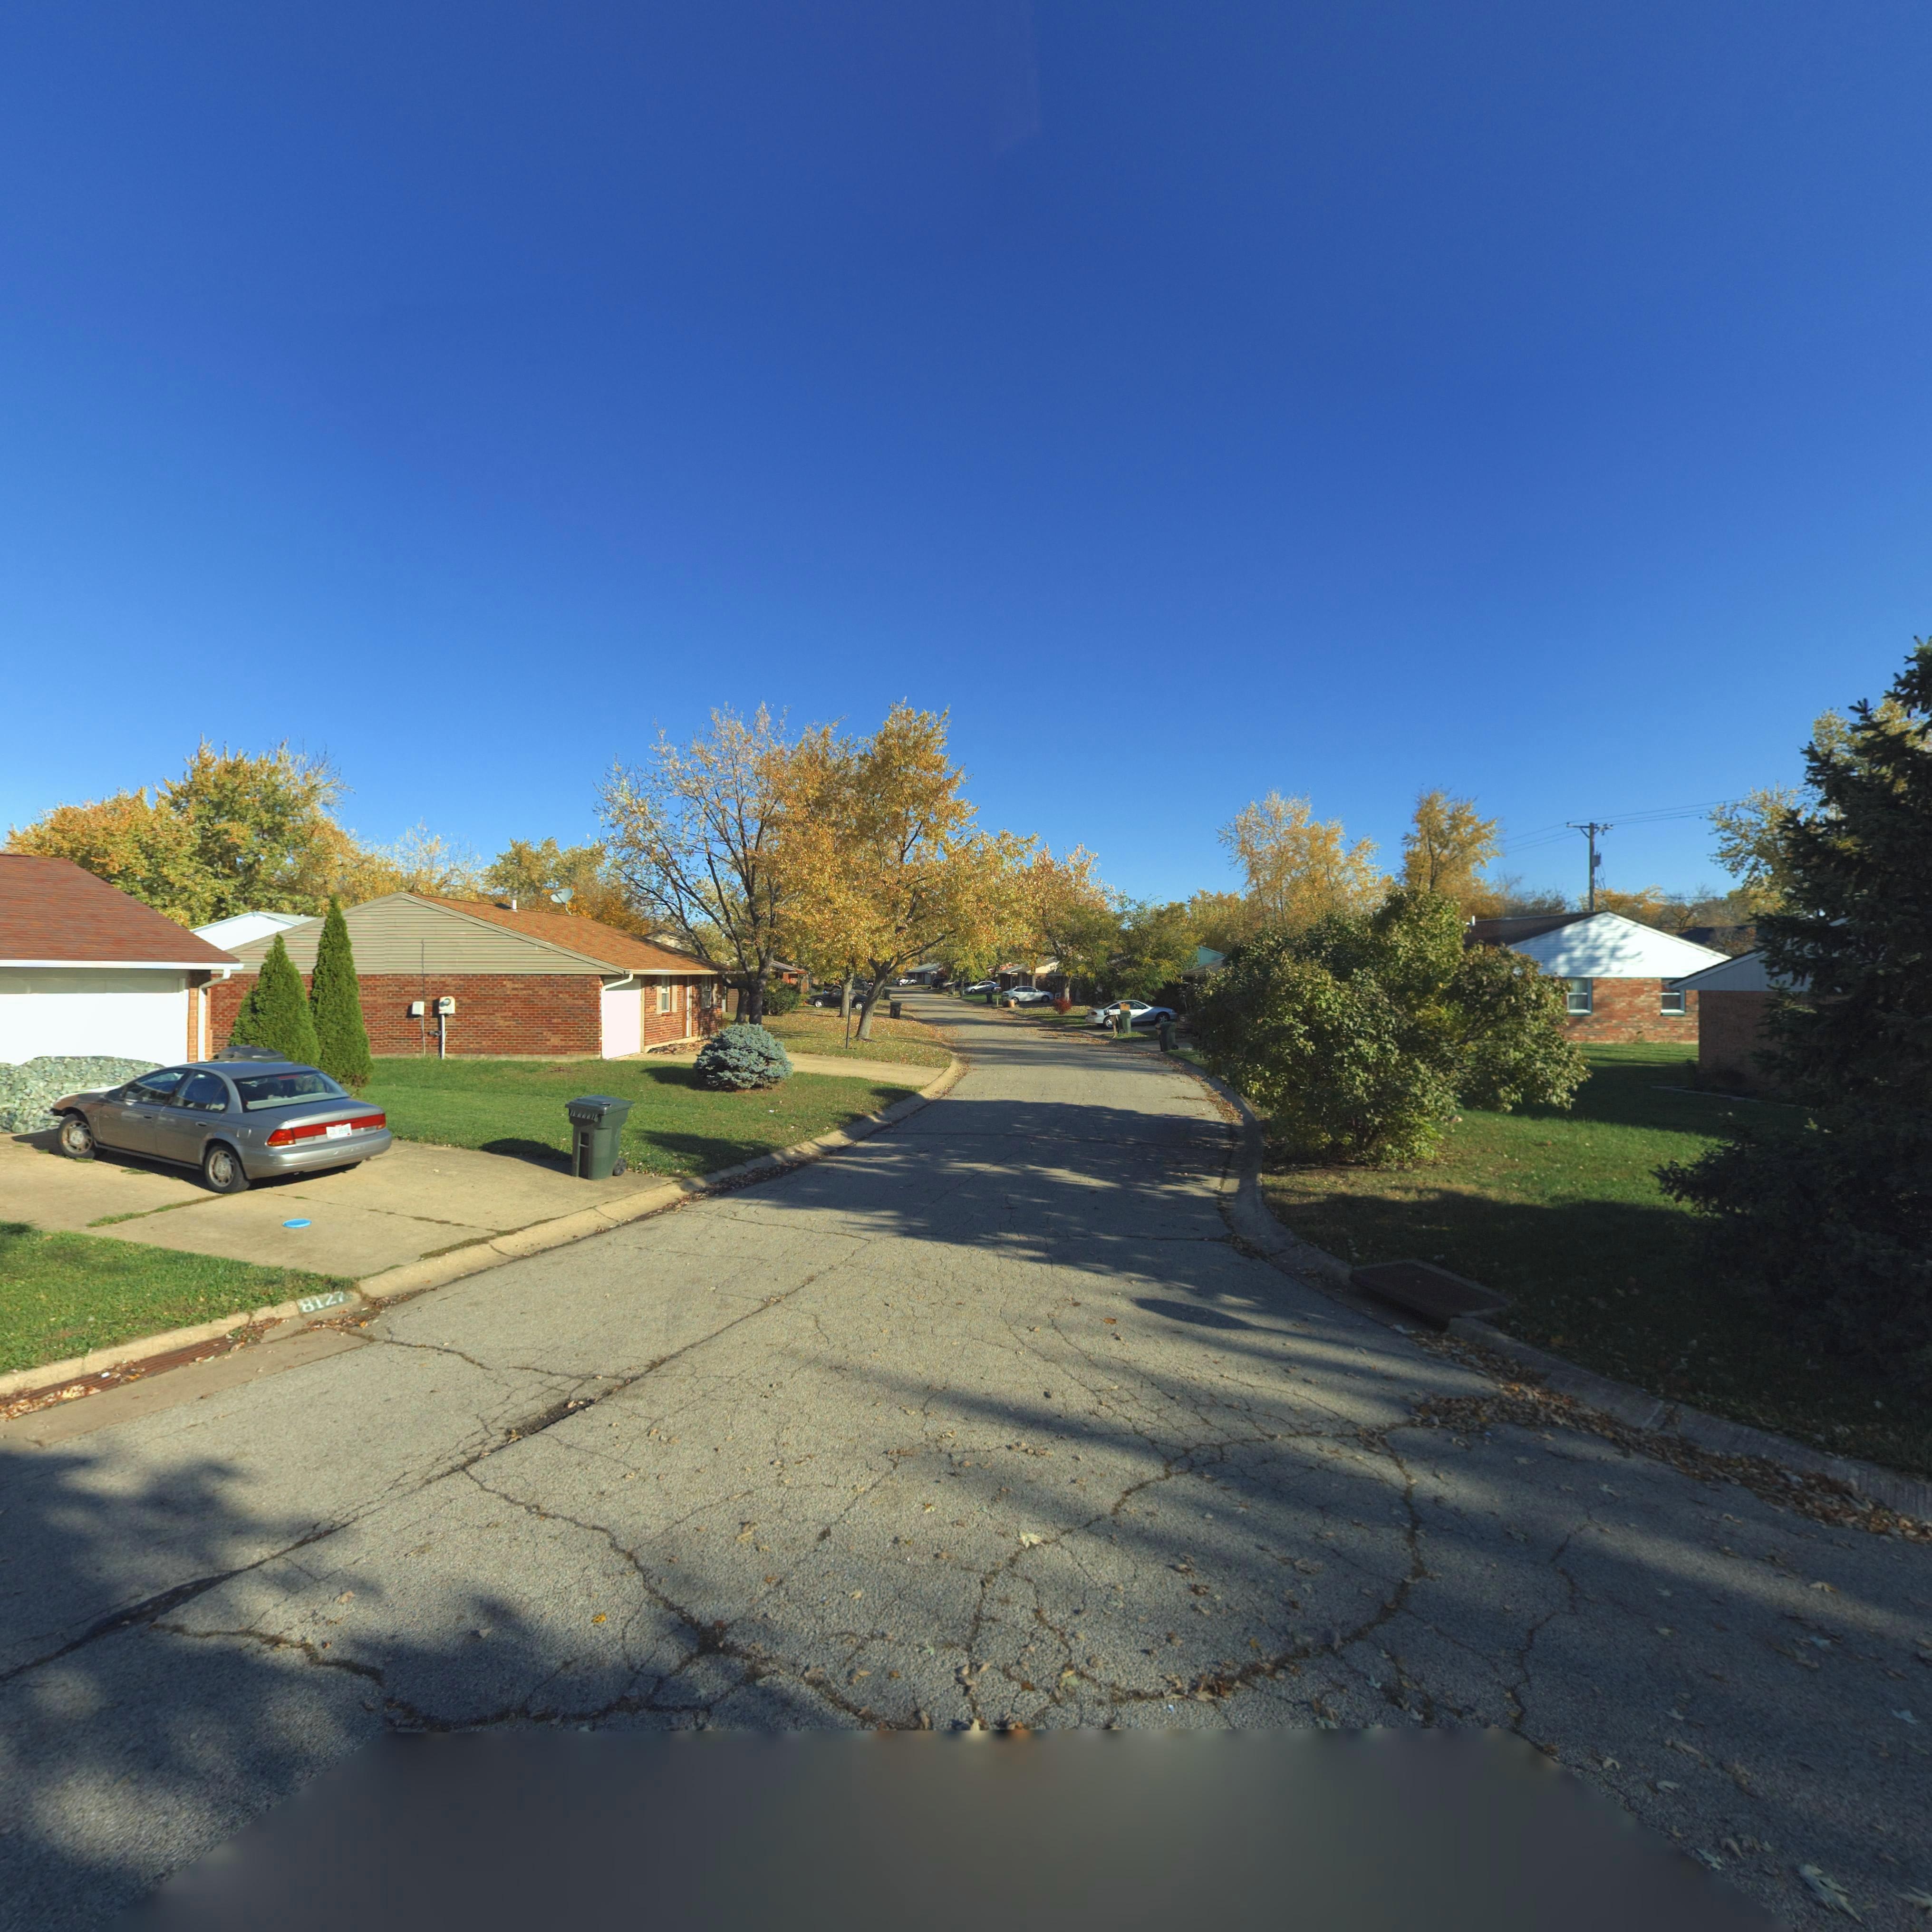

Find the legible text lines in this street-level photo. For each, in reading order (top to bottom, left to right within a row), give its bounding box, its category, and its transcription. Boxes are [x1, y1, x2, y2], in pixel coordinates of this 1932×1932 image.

[297, 1289, 345, 1315] StreetNumber: 8127